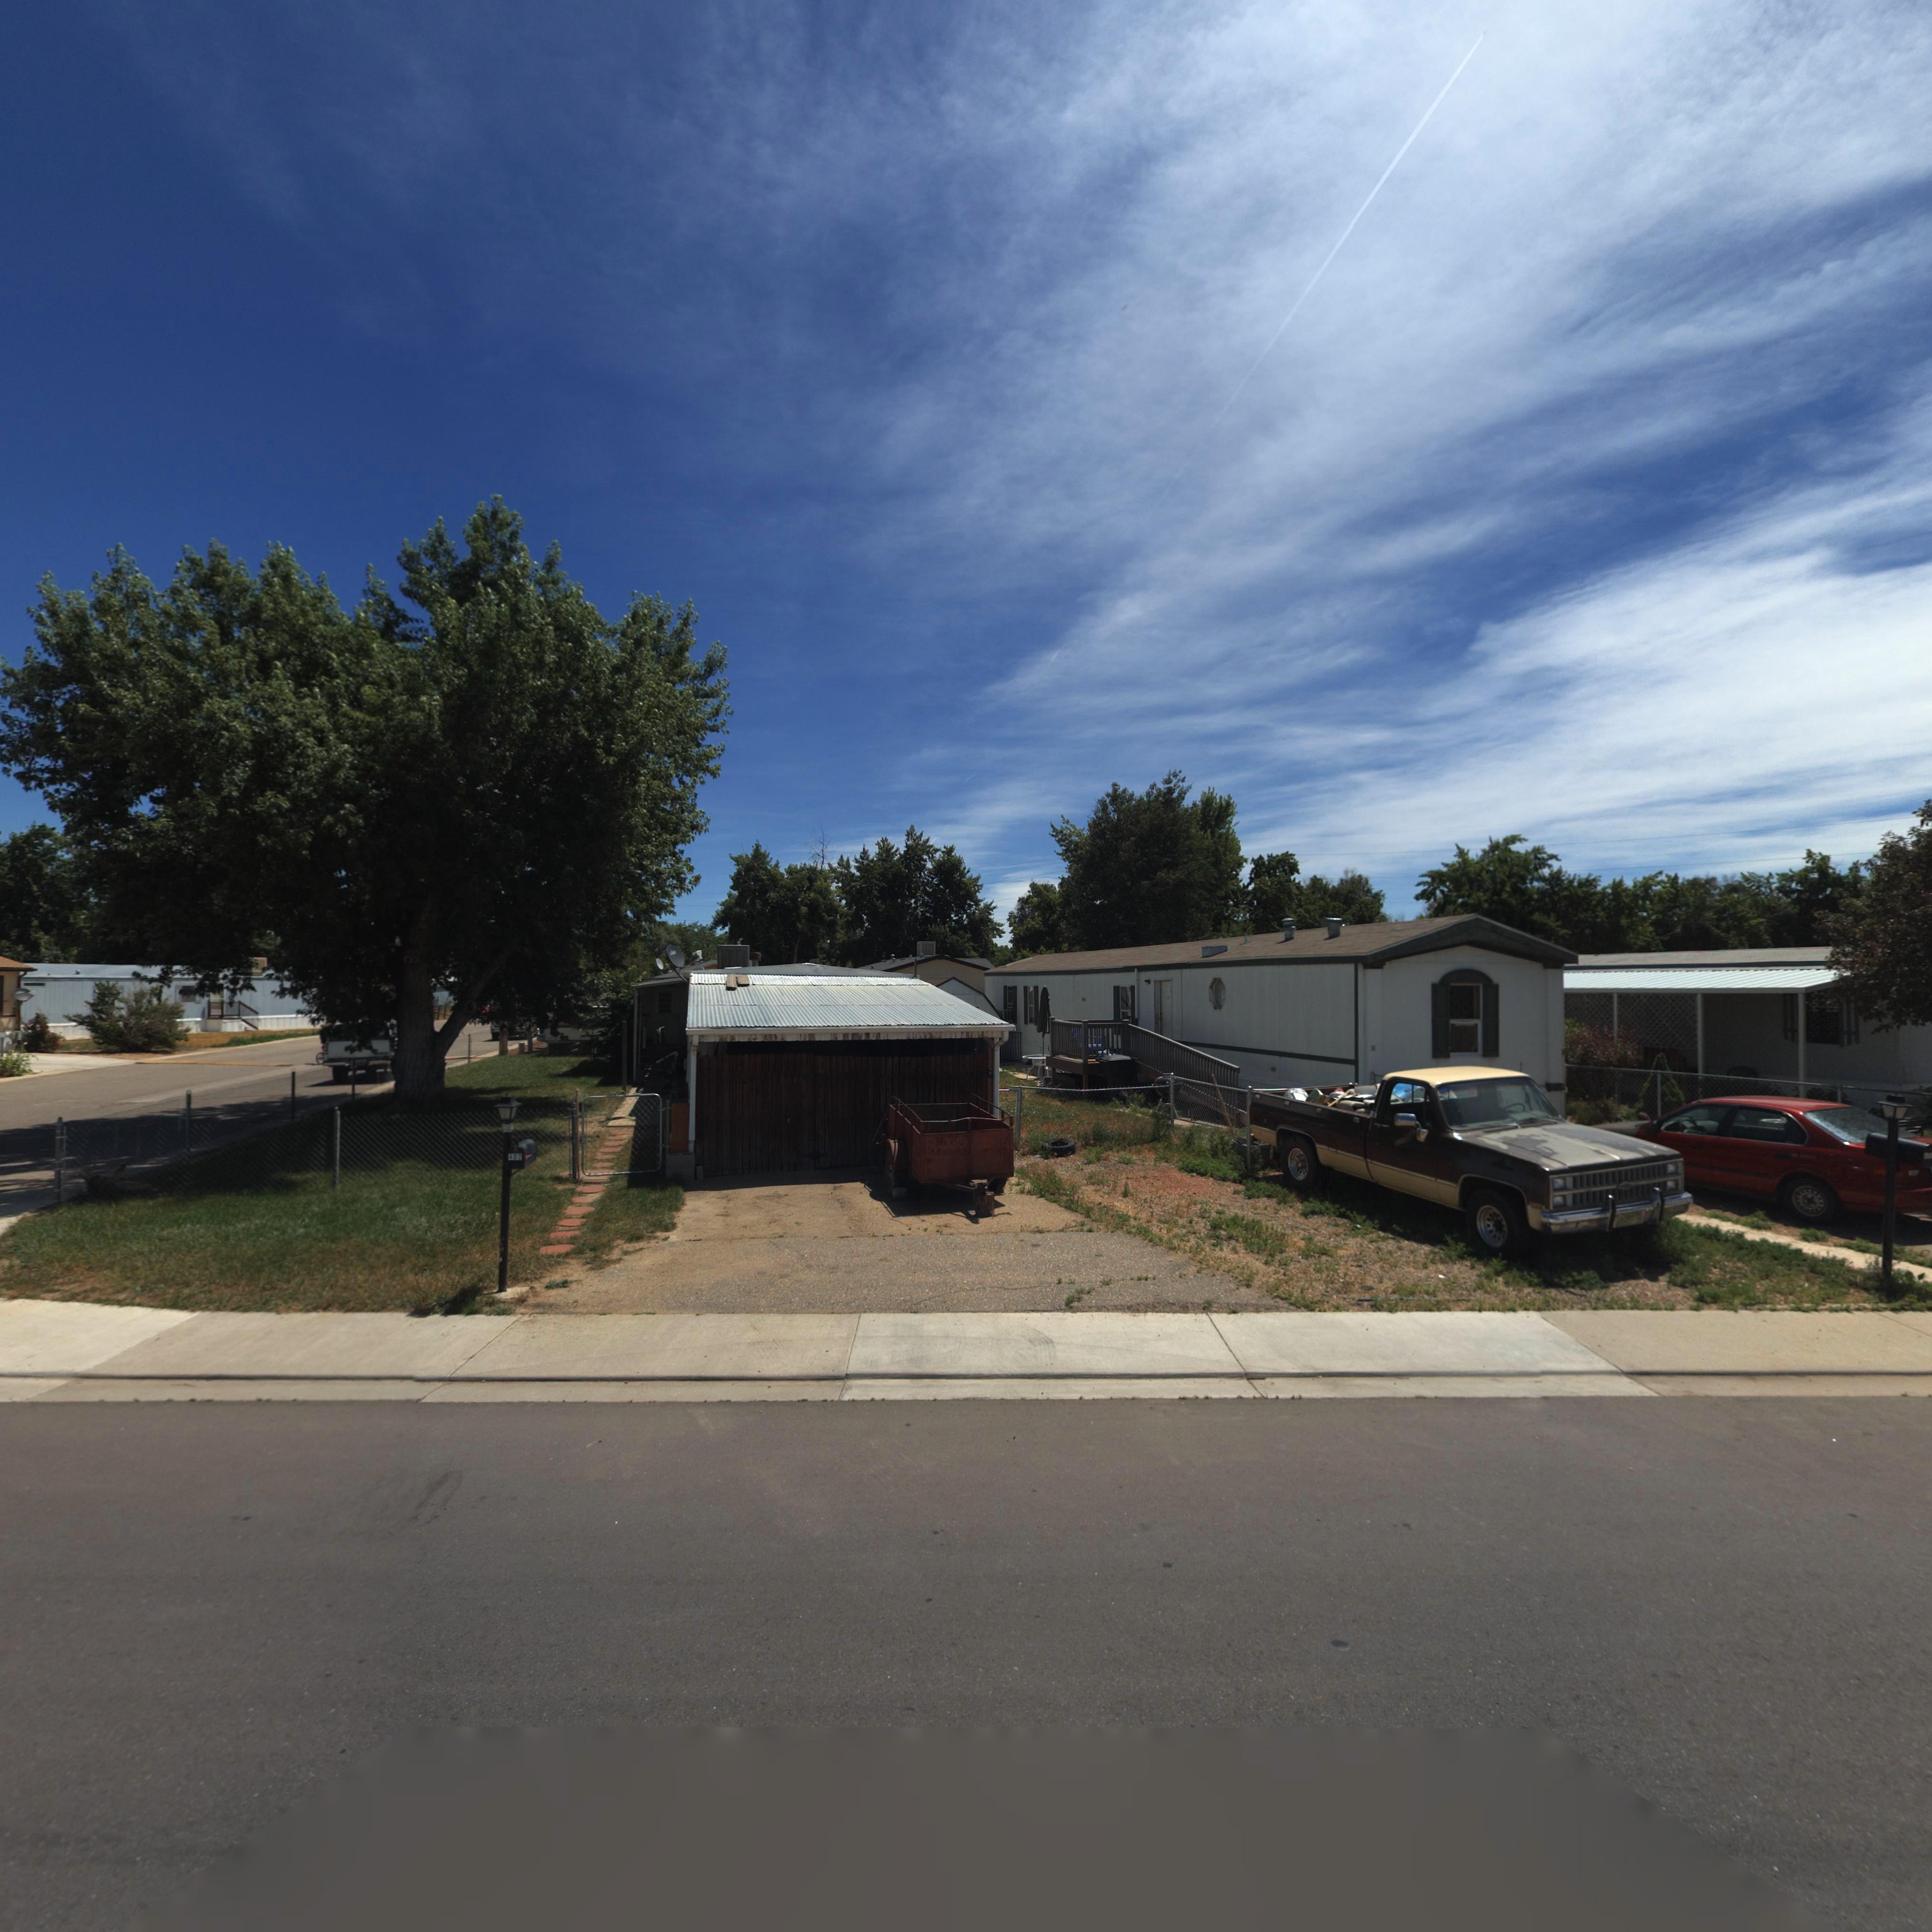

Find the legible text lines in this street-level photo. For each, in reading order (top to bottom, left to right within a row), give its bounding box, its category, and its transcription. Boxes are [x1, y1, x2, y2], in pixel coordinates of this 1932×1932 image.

[508, 1153, 522, 1160] StreetNumber: 402